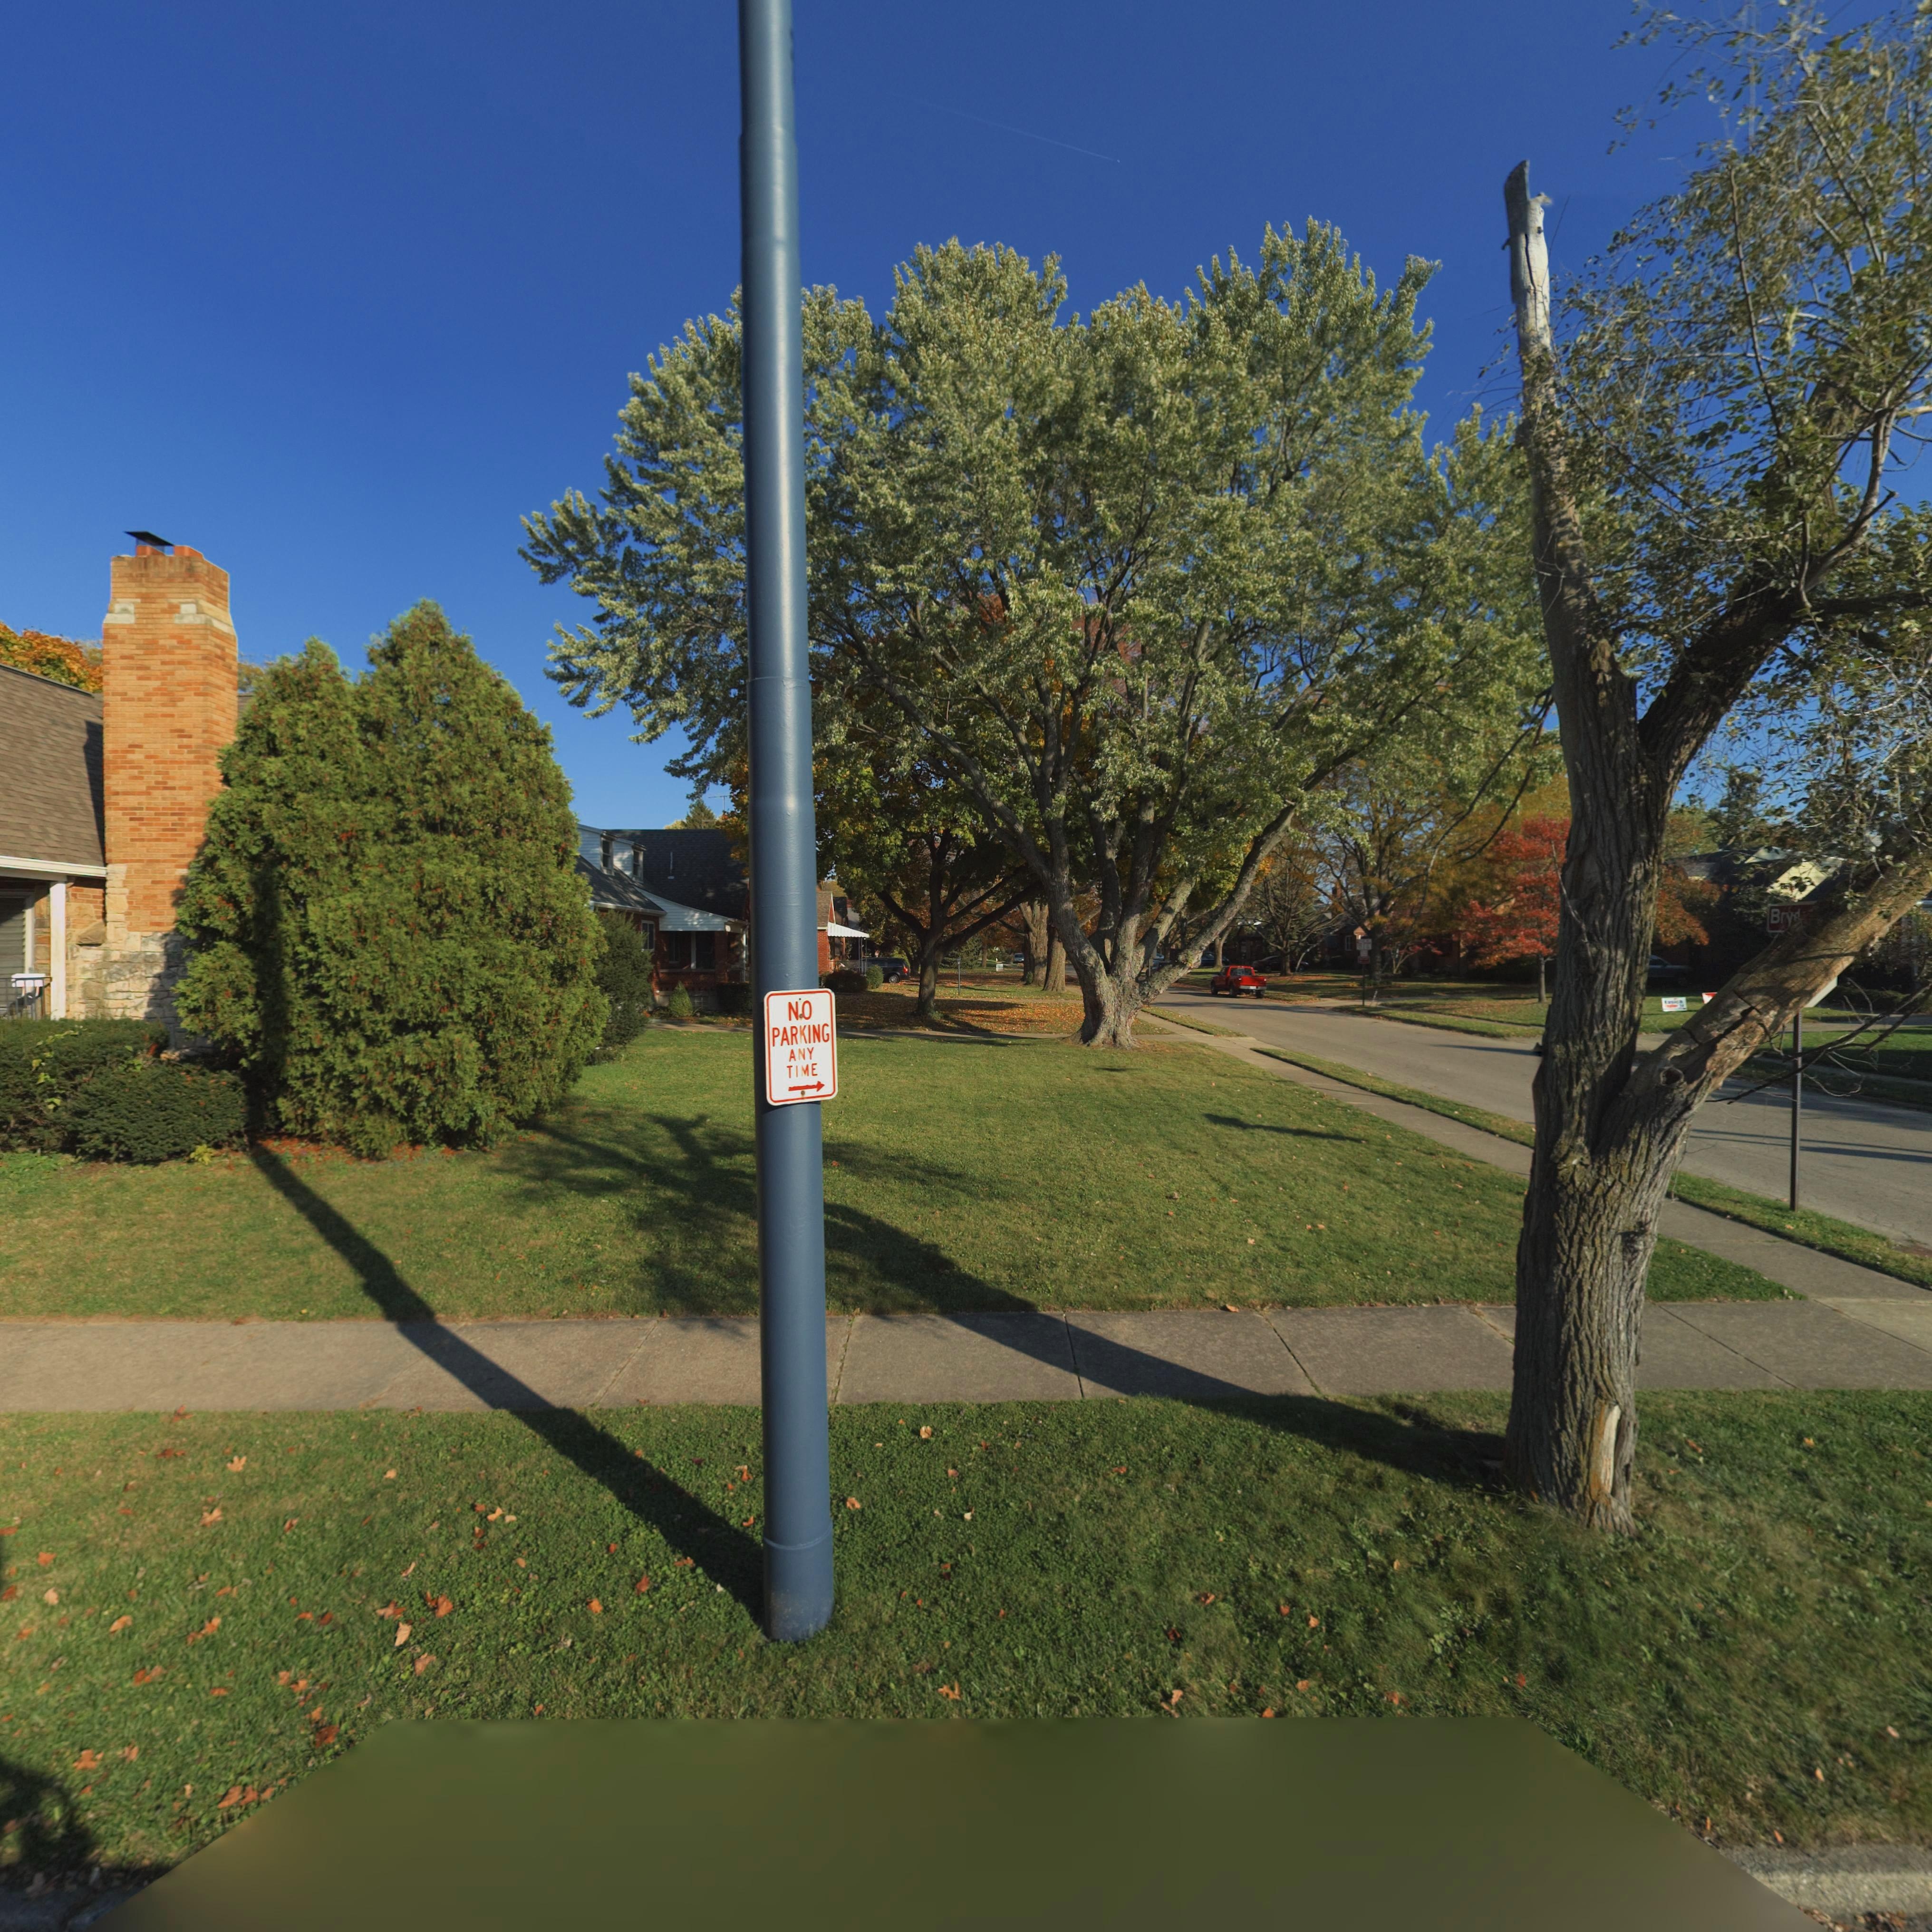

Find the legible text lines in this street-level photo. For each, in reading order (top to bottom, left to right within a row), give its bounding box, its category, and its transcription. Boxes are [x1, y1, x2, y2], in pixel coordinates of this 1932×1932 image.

[1769, 907, 1795, 928] StreetNumber: Bry
[786, 999, 813, 1023] None: NO
[770, 1022, 831, 1049] None: PARKING
[787, 1046, 815, 1063] None: ANY
[785, 1062, 820, 1080] None: TI*E